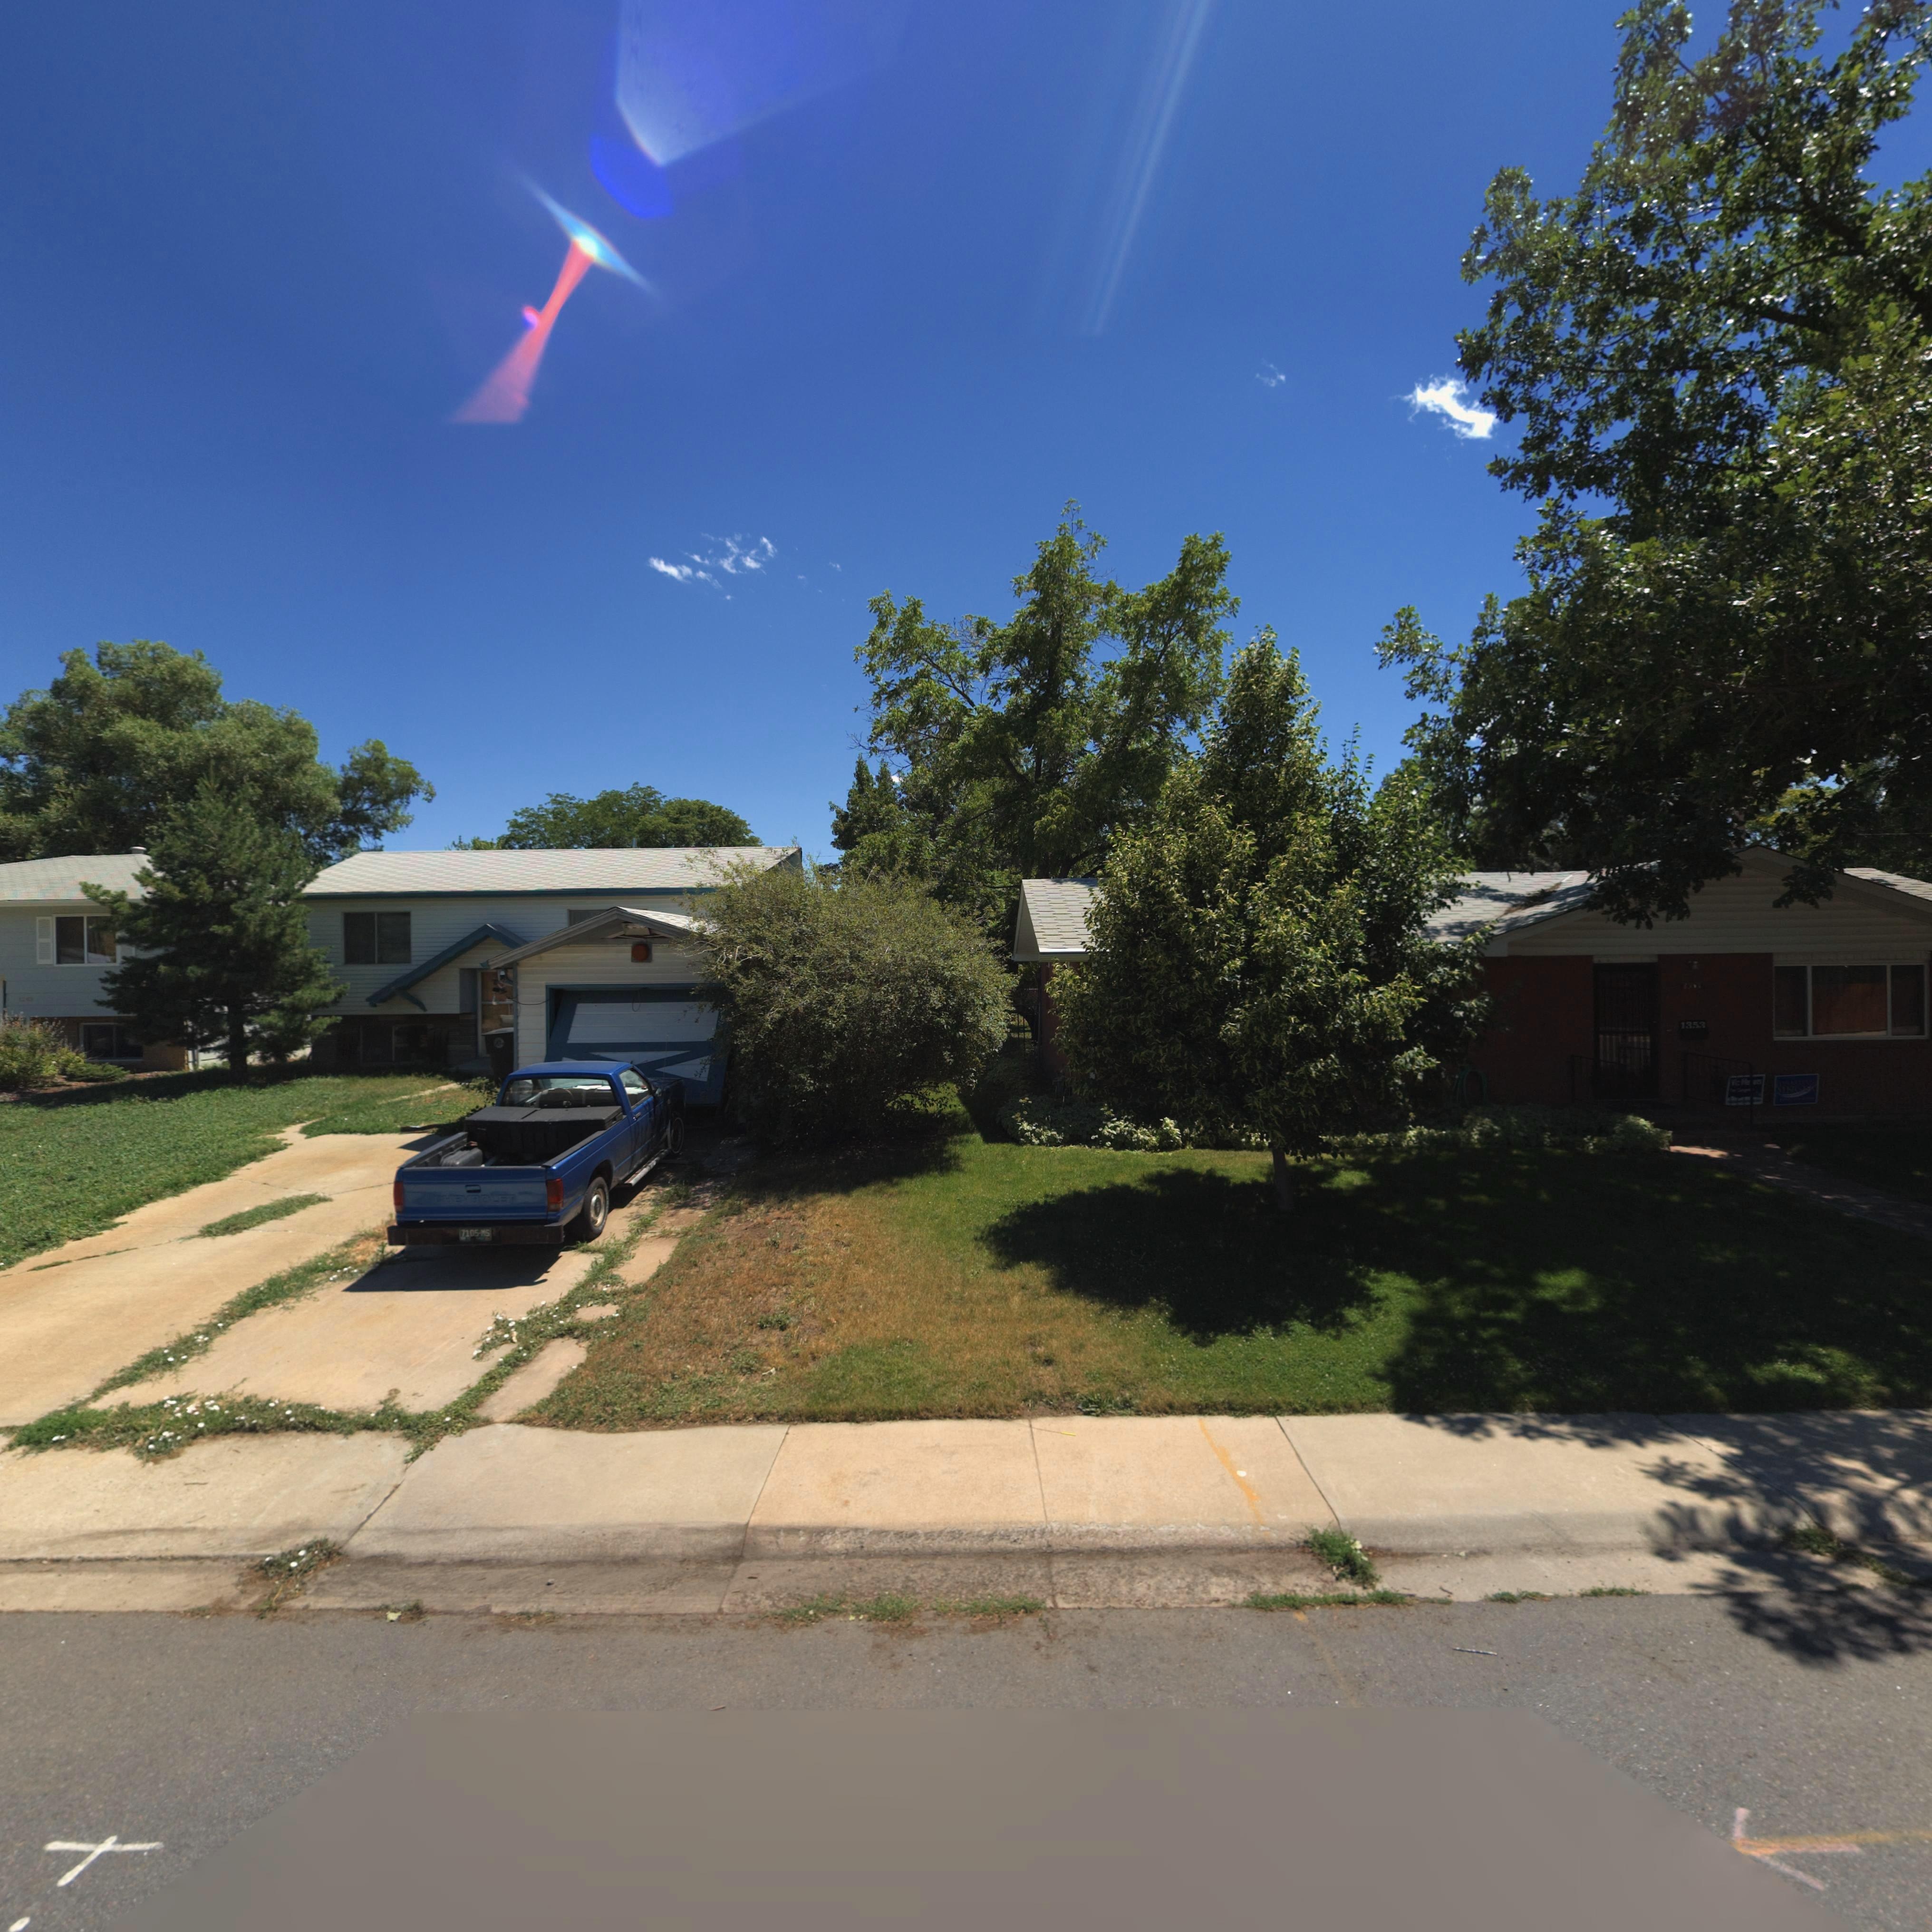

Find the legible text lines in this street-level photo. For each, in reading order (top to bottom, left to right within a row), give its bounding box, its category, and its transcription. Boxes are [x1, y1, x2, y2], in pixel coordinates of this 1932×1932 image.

[1682, 980, 1703, 990] StreetNumber: 1***
[1680, 1021, 1705, 1029] StreetNumber: 1353